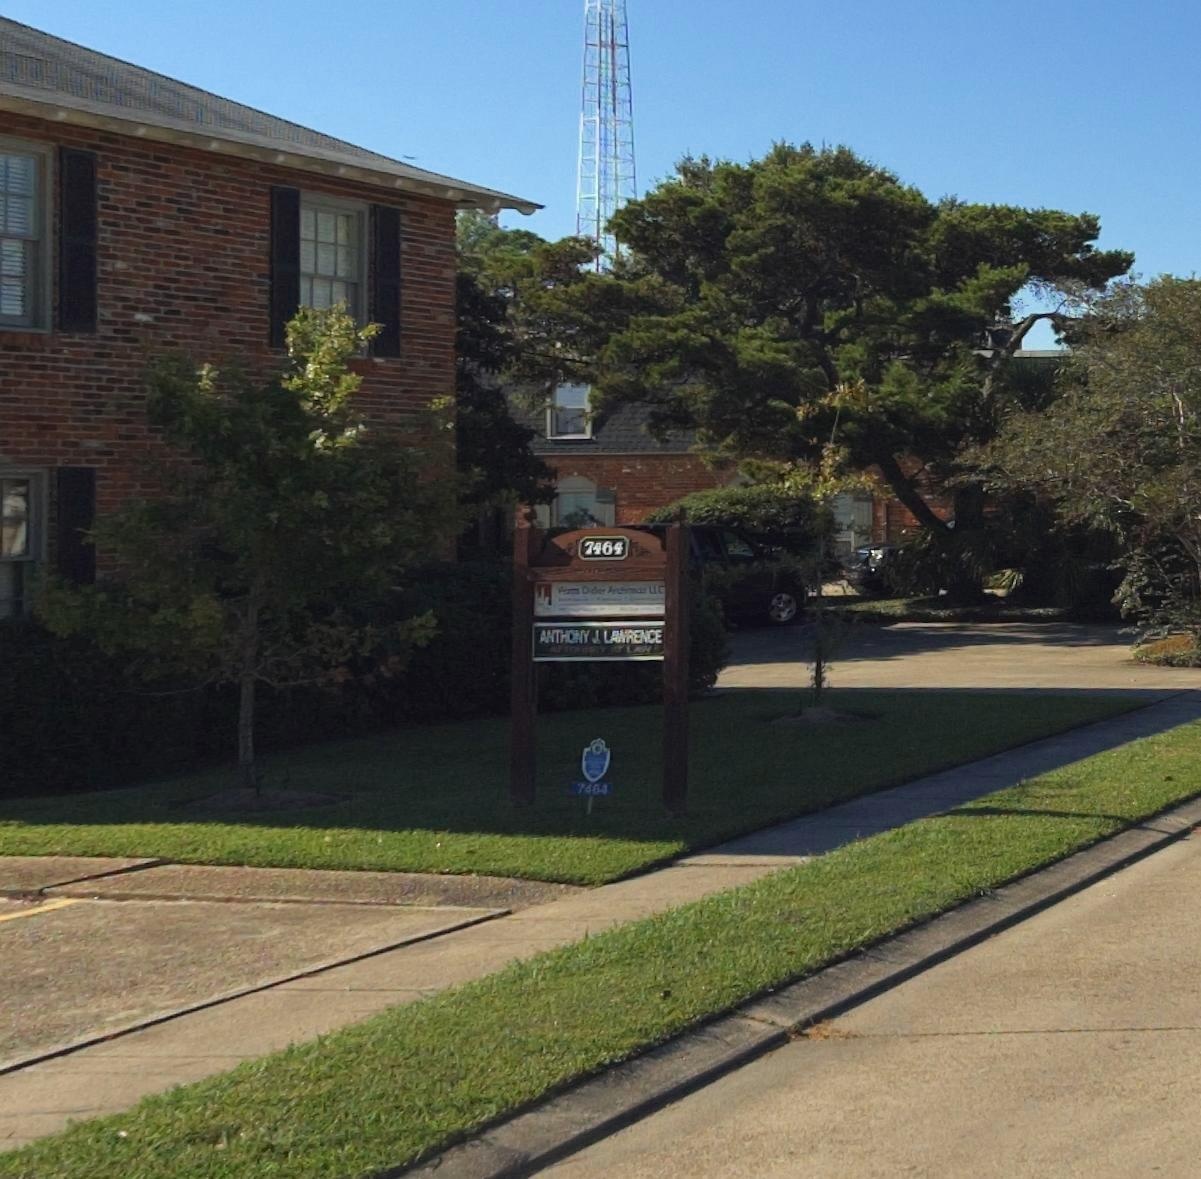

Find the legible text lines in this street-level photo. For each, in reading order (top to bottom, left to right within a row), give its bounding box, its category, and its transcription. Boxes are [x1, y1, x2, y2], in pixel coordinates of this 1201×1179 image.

[581, 539, 626, 558] StreetNumber: 7464
[646, 582, 667, 597] BusinessName: LLC
[536, 625, 665, 647] BusinessName: ANTHONEY J. LA*RENCE